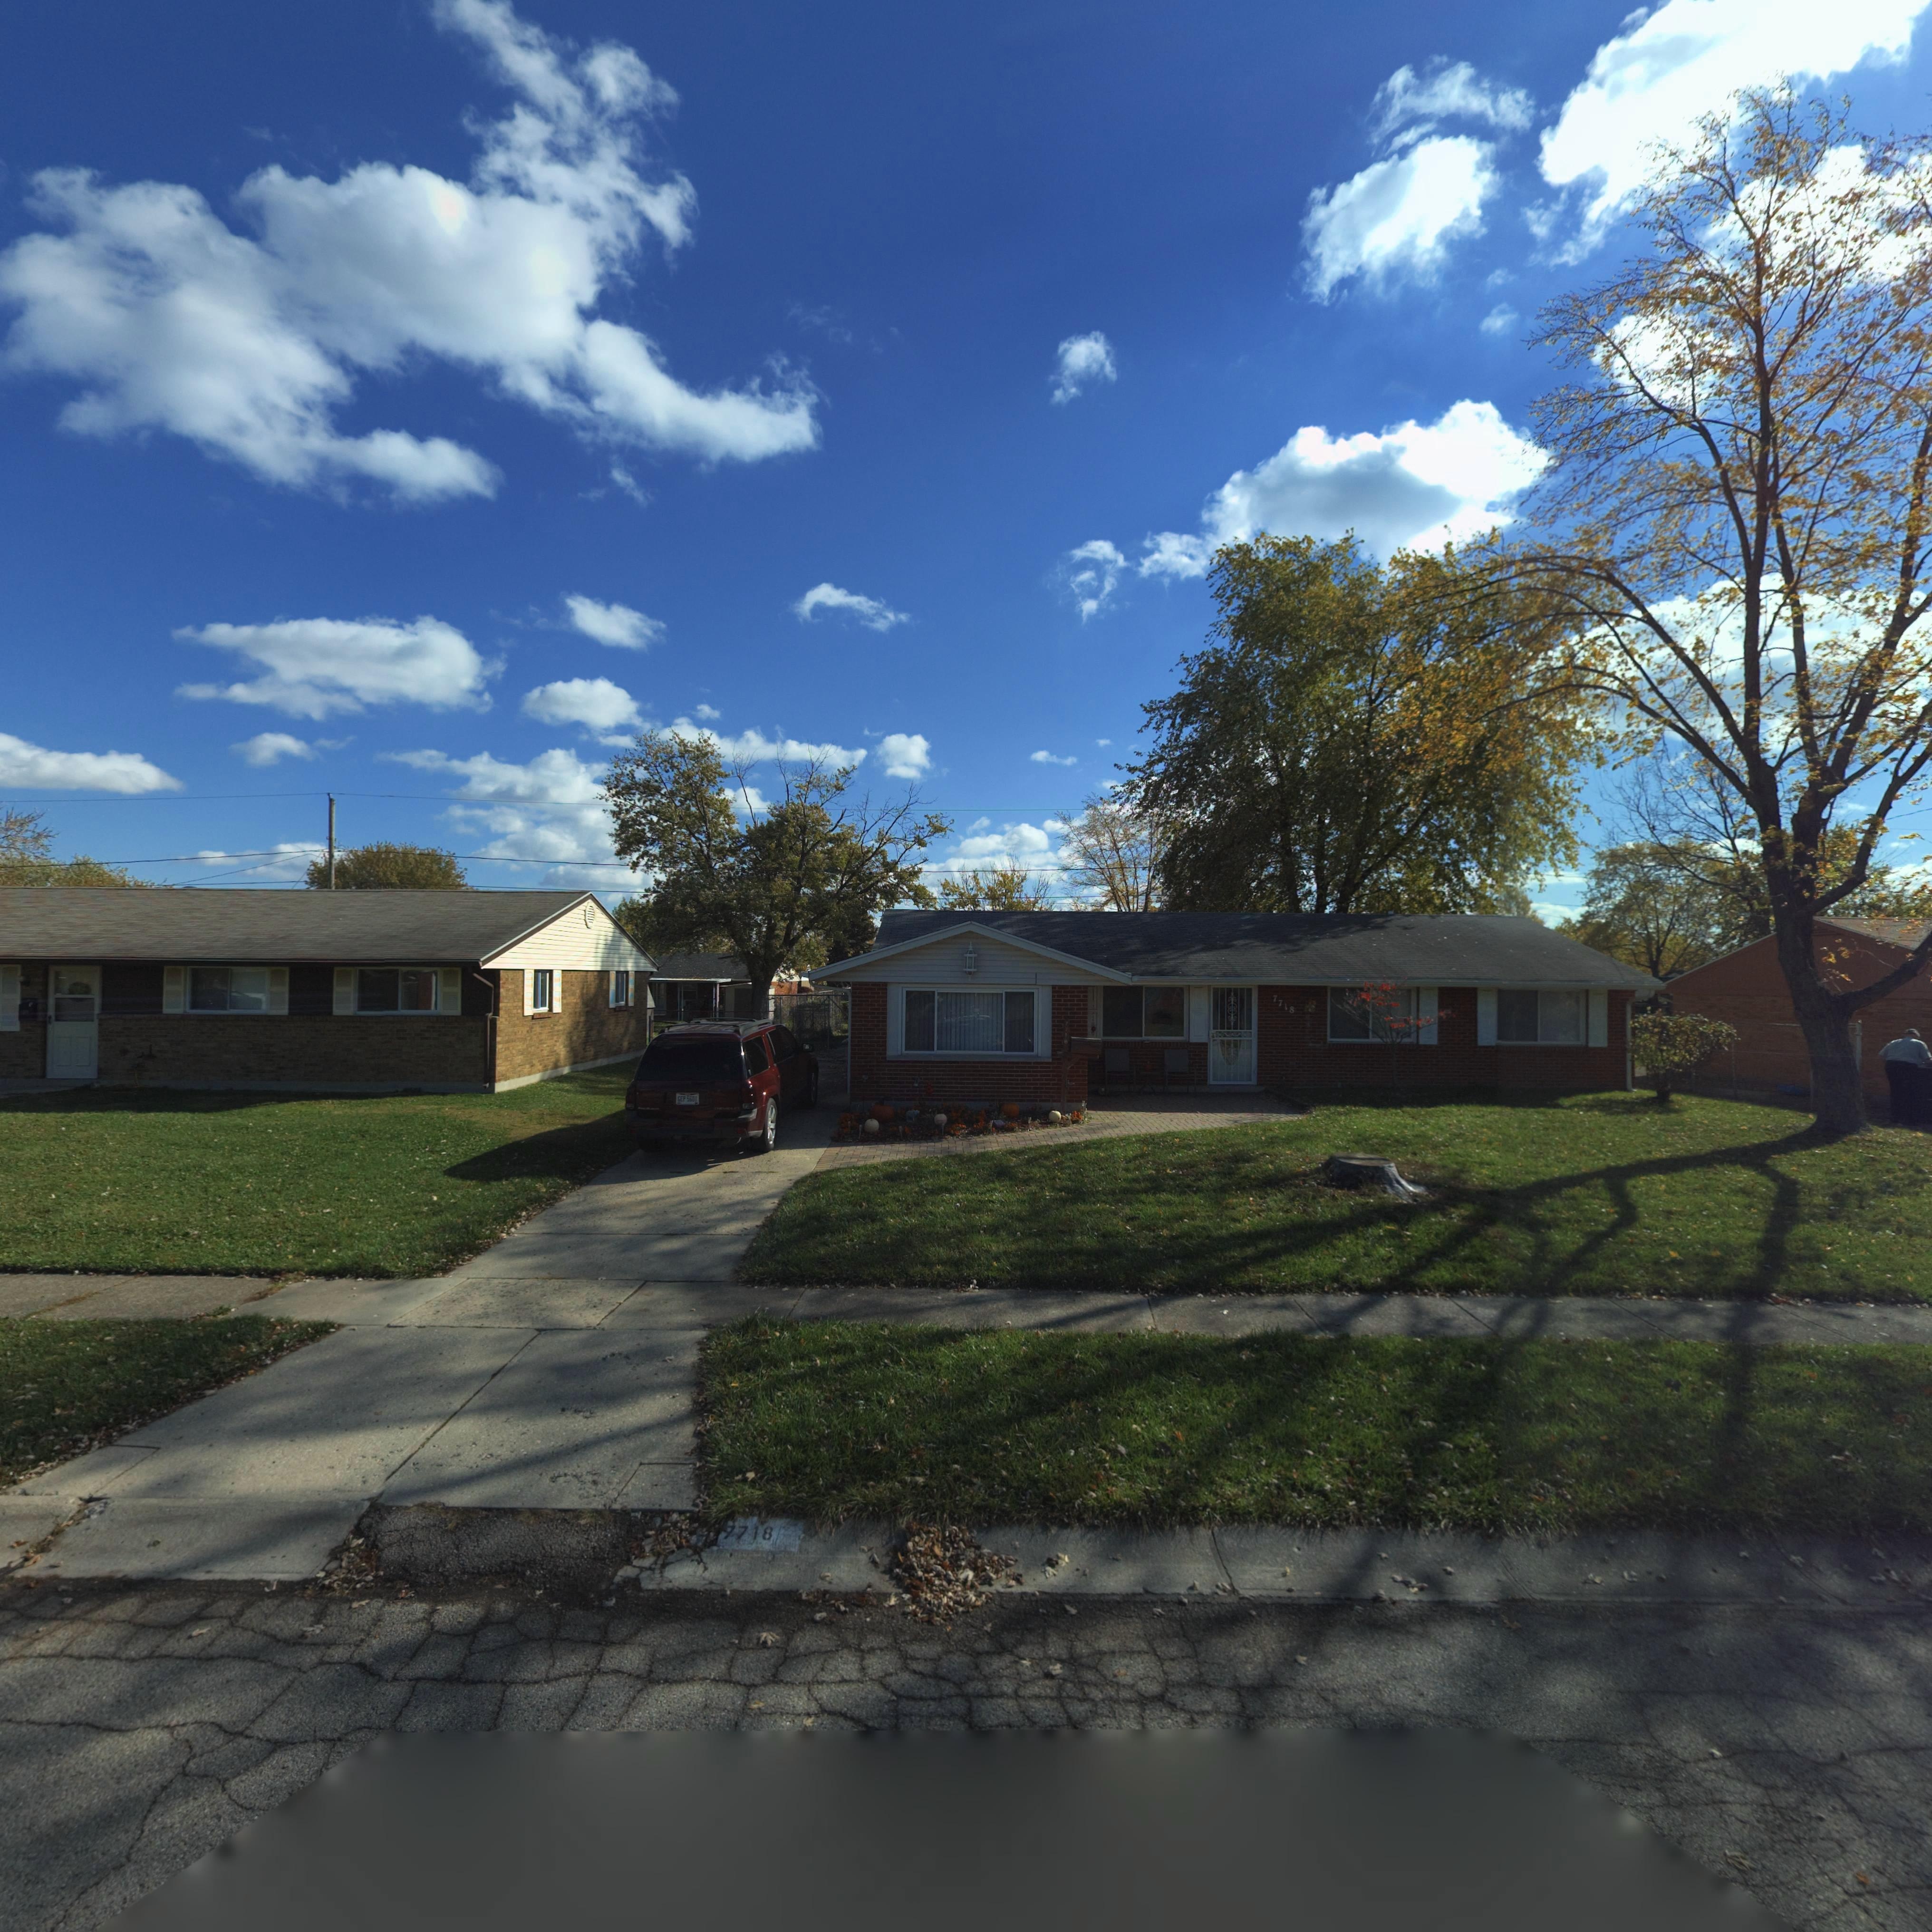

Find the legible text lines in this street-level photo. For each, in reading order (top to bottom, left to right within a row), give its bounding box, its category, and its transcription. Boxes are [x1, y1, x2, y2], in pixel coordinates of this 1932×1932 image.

[1272, 994, 1295, 1015] StreetNumber: 7718
[721, 1524, 775, 1542] StreetNumber: 7718